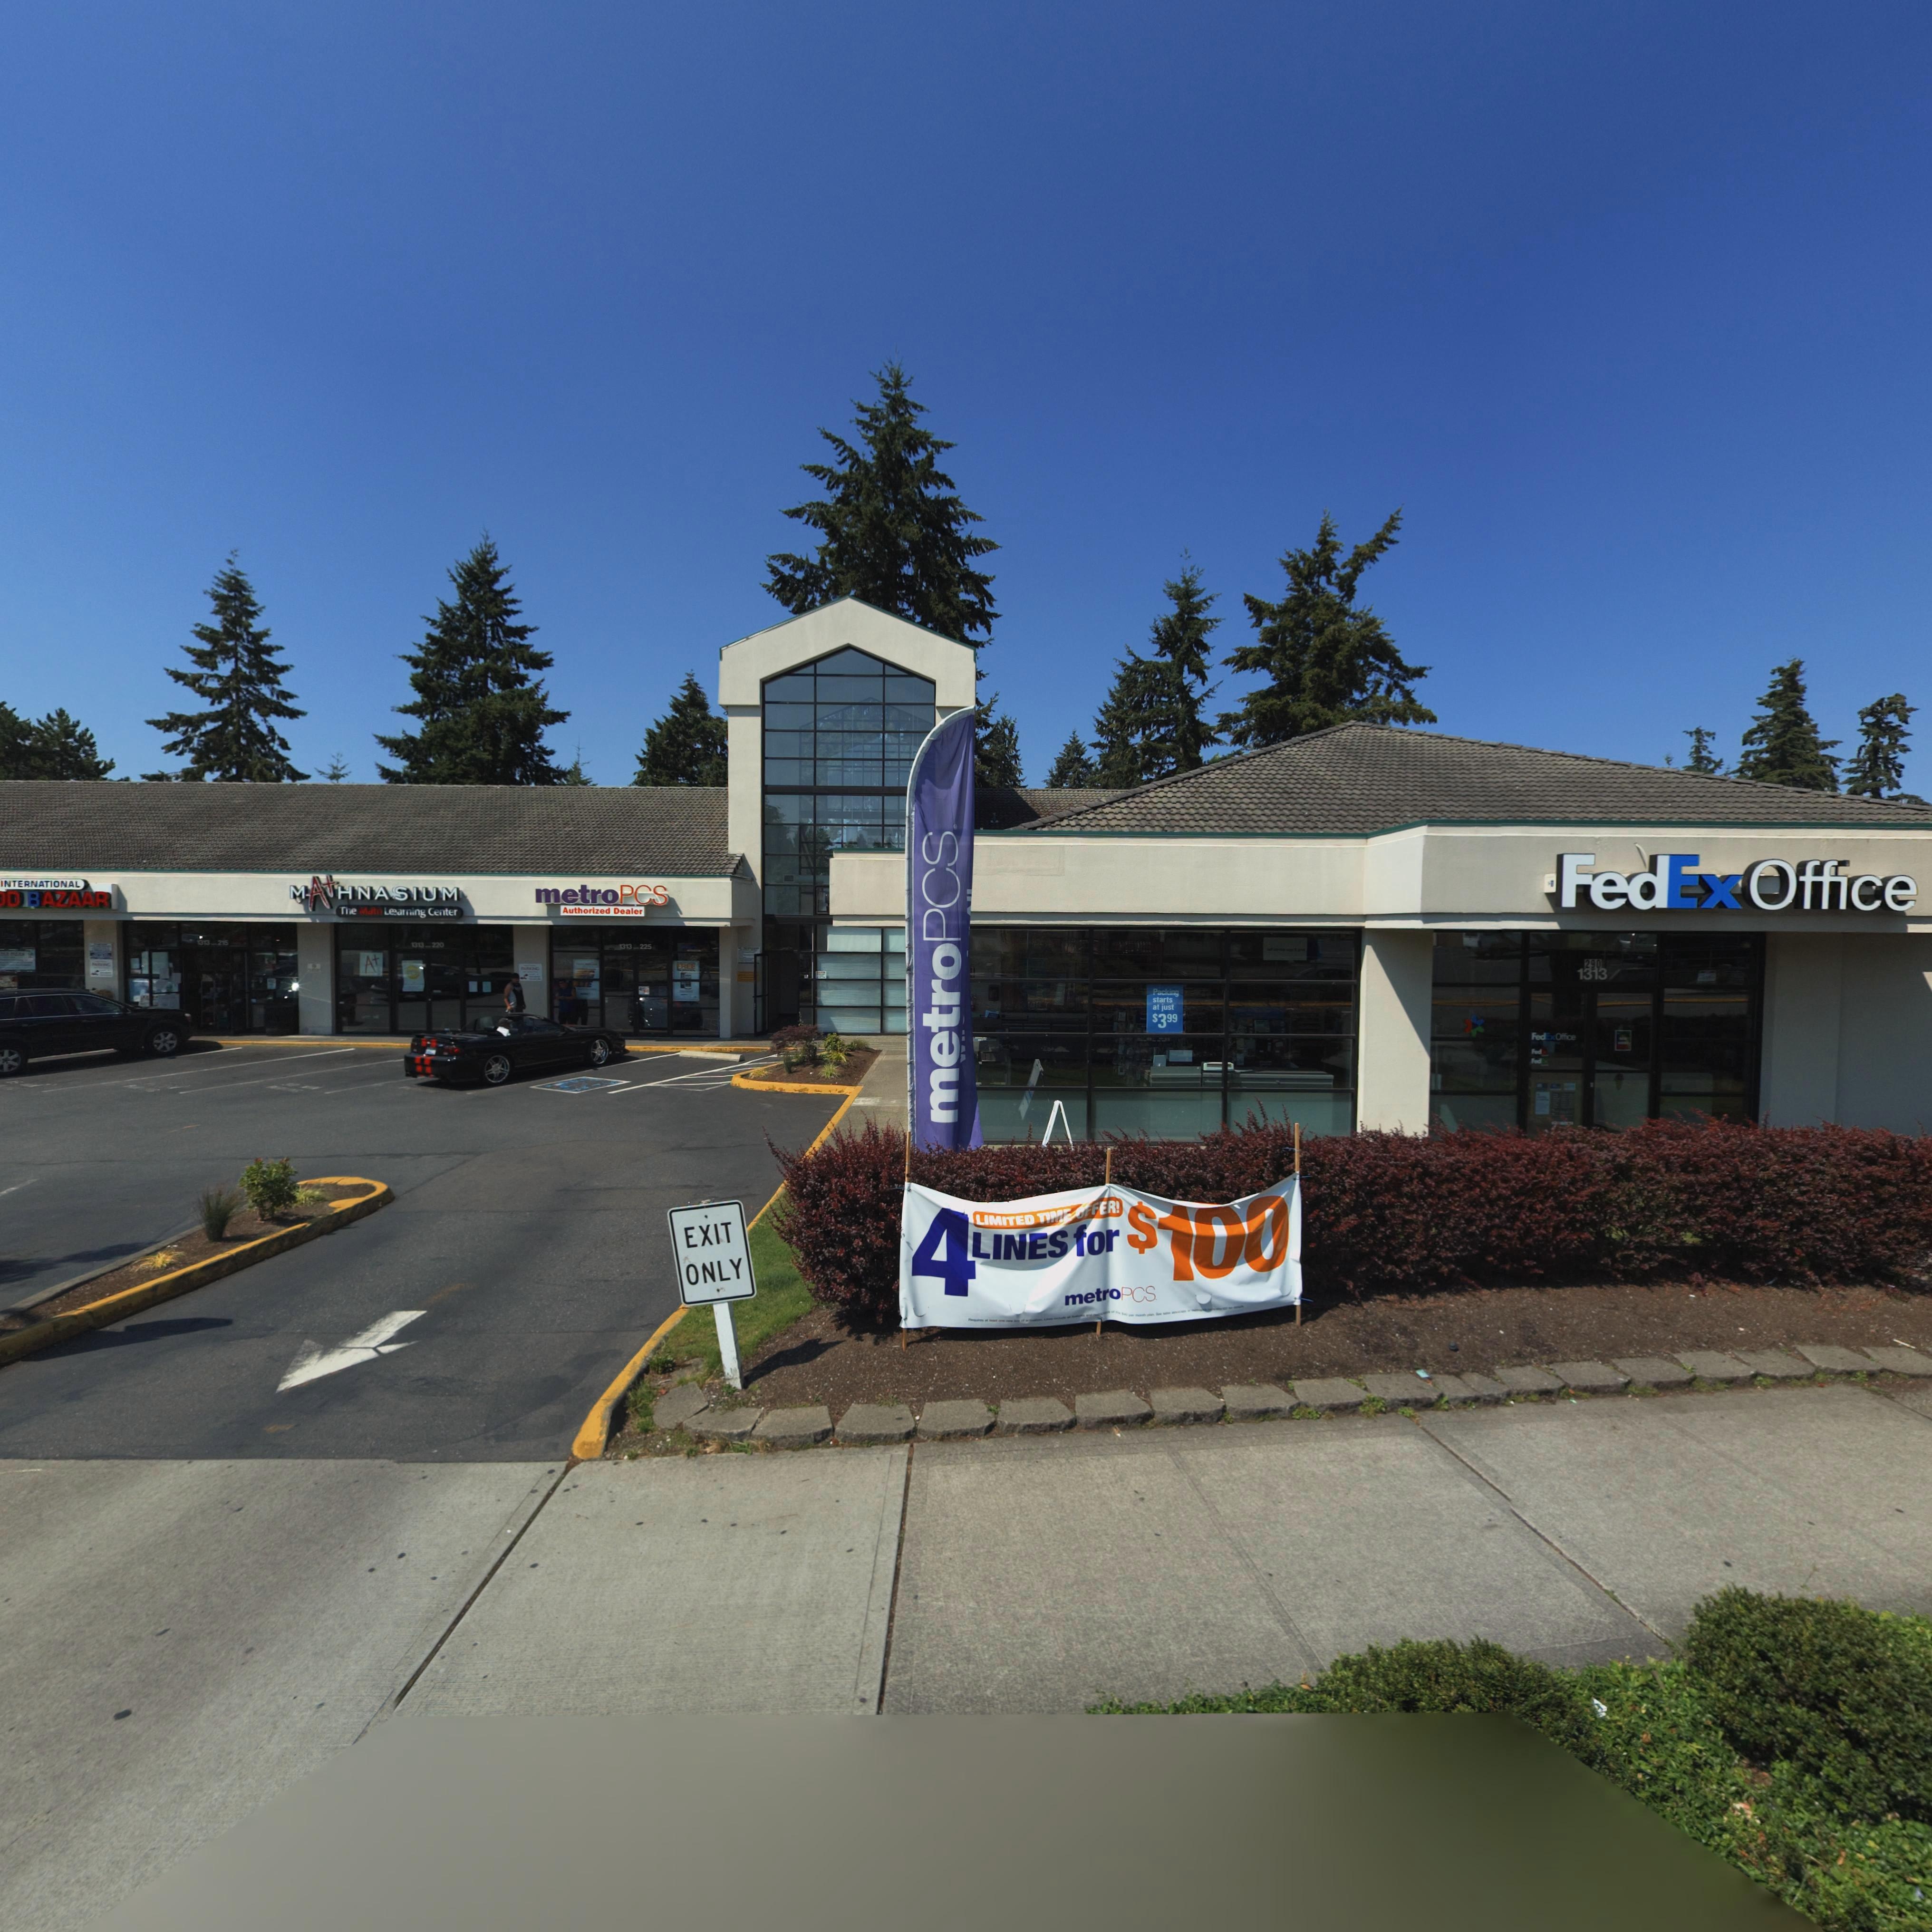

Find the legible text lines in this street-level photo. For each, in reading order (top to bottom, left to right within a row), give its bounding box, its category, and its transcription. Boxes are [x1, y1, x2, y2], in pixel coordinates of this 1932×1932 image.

[0, 879, 81, 888] BusinessName: INTERNATIONAL
[1554, 845, 1928, 915] BusinessName: FedEx Office
[27, 890, 111, 907] BusinessName: BAZAAR
[289, 874, 459, 913] BusinessName: M**HNASIUM
[534, 882, 668, 906] BusinessName: metroPCS
[338, 905, 458, 919] BusinessName: The Math Le*arning Center
[562, 907, 643, 915] BusinessName: Authorized Dealer
[411, 942, 445, 948] StreetNumber: 1313 220
[618, 943, 652, 949] BusinessName: 1313 225
[1584, 959, 1601, 968] StreetNumber: 290
[921, 829, 964, 1123] BusinessName: metroPCS
[1576, 967, 1608, 980] StreetName: 1313
[1530, 1031, 1576, 1041] BusinessName: FedEx Office
[682, 1220, 734, 1248] TrafficSign: EXIT
[683, 1256, 743, 1286] TrafficSign: ONLY